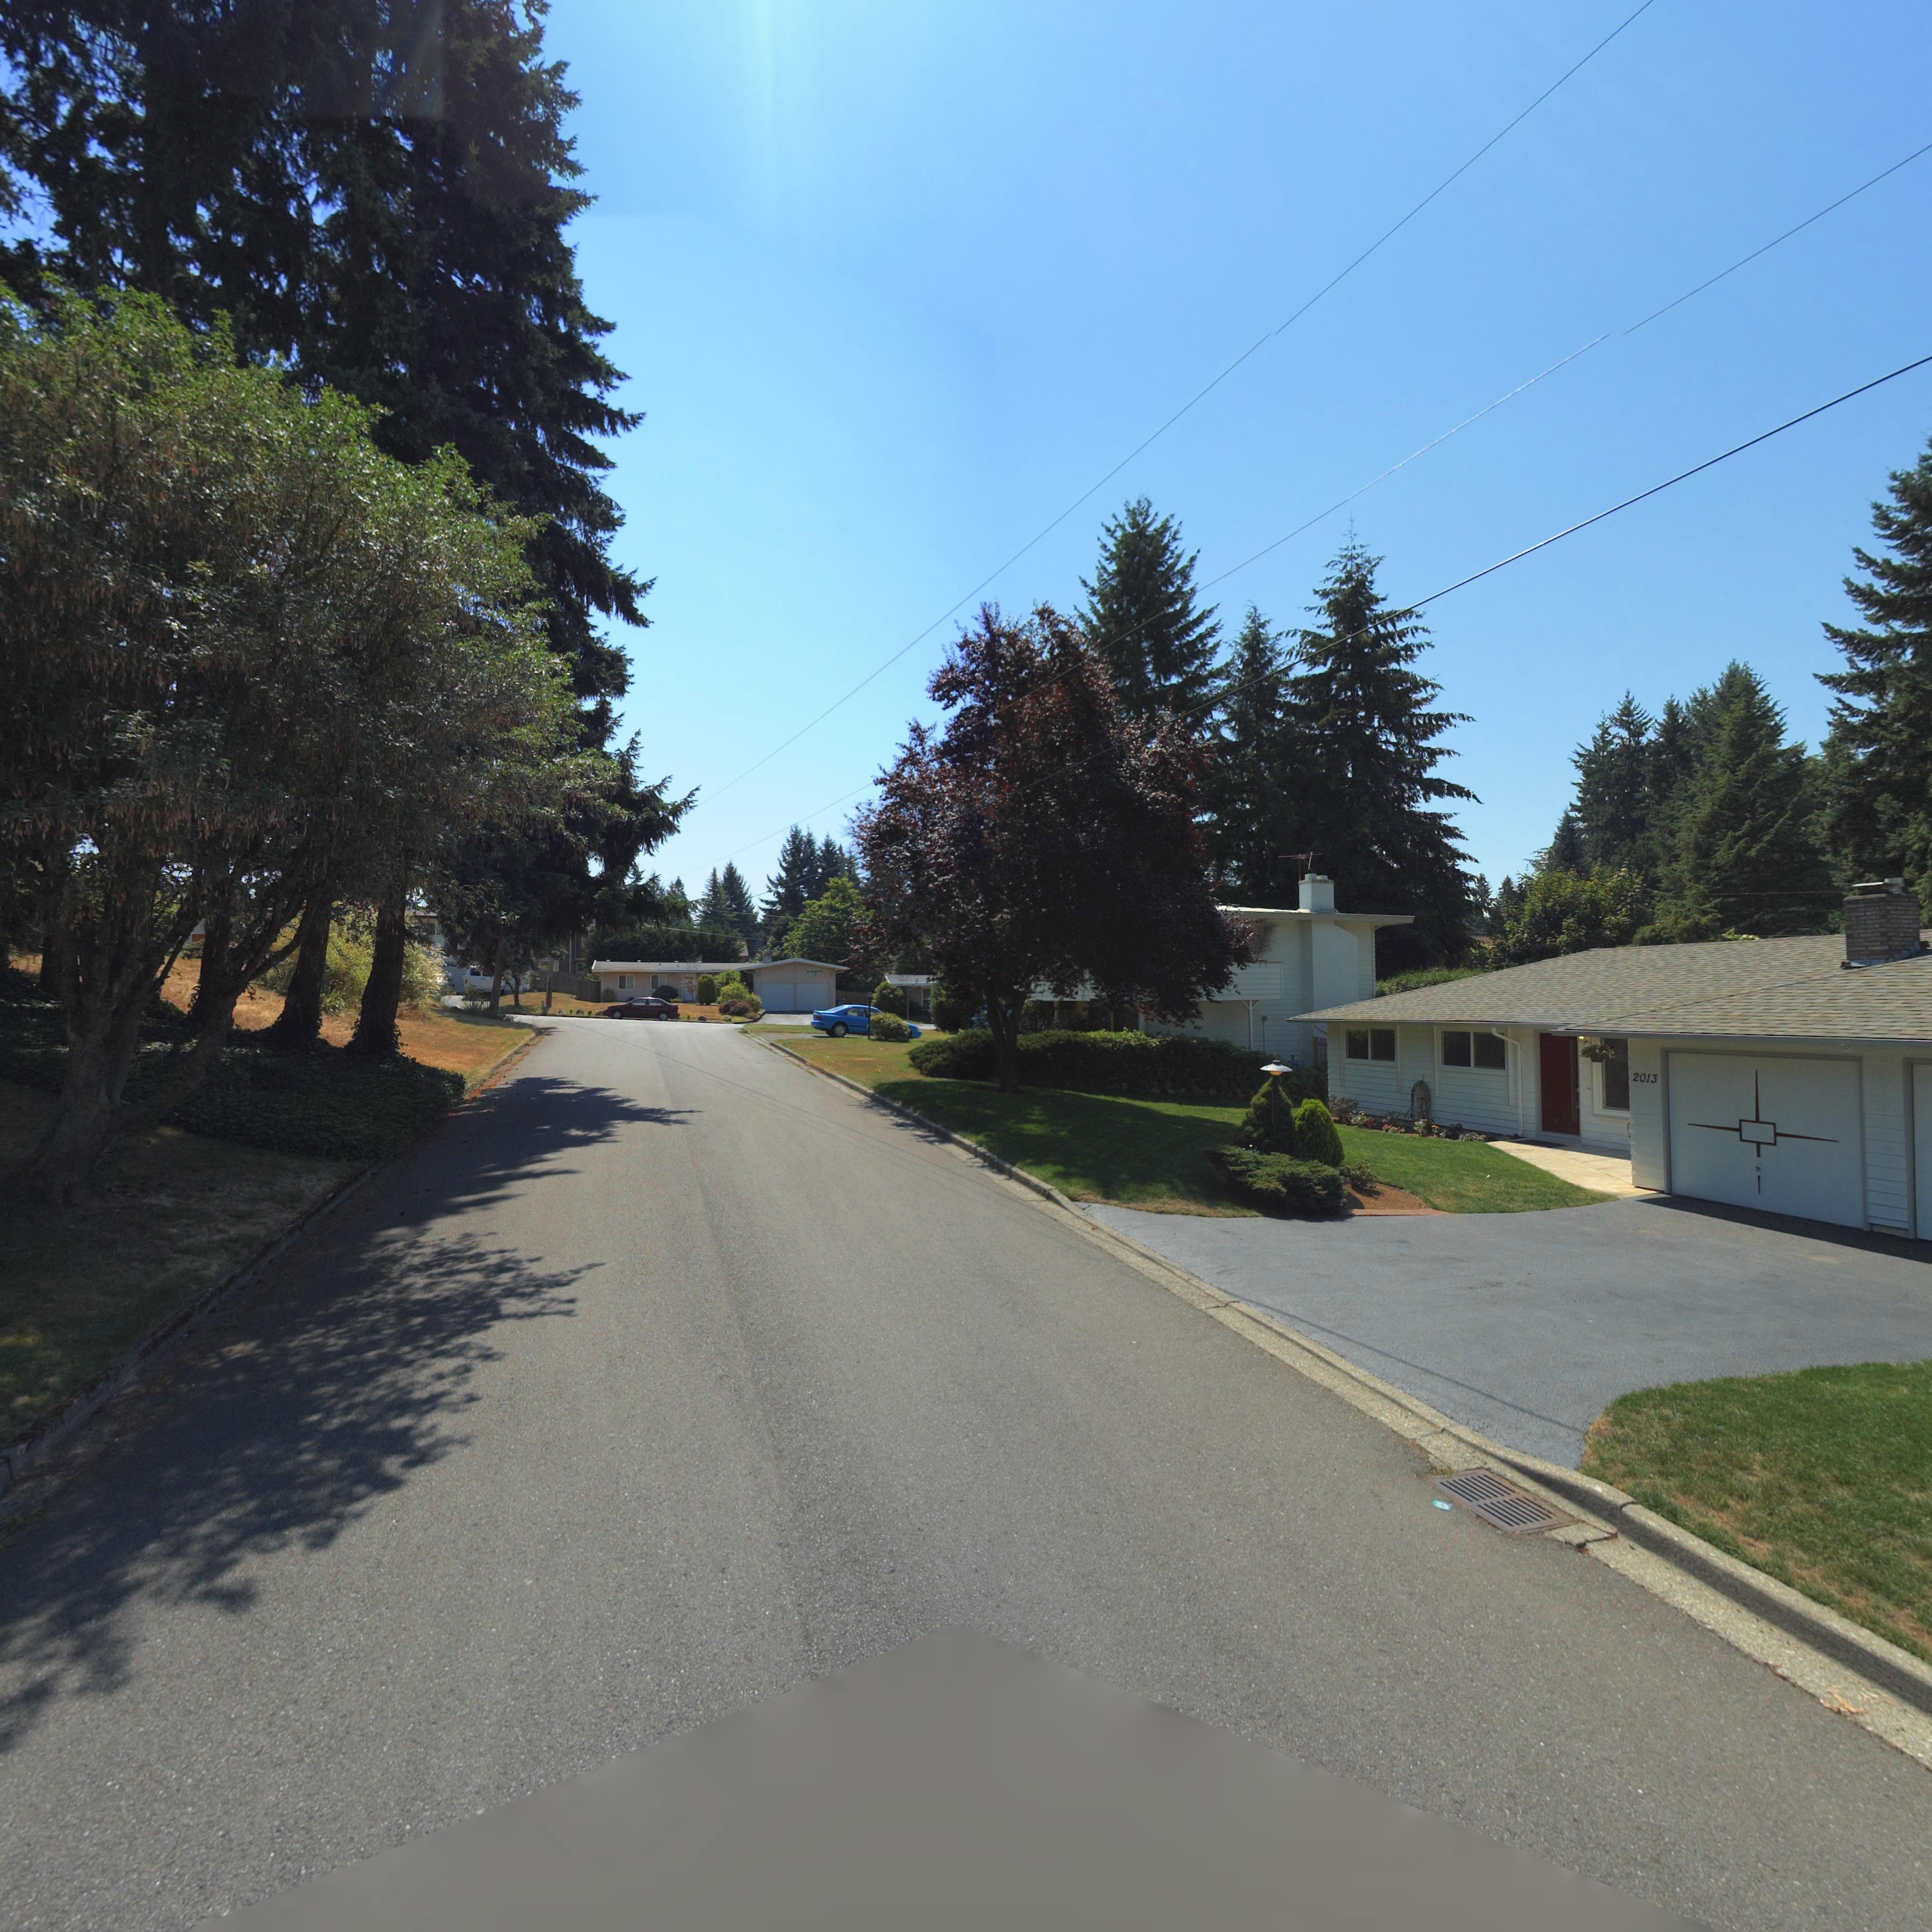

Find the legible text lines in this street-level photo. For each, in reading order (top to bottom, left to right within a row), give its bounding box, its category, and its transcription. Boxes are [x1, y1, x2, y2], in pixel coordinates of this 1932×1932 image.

[1632, 1072, 1658, 1083] StreetNumber: 2013